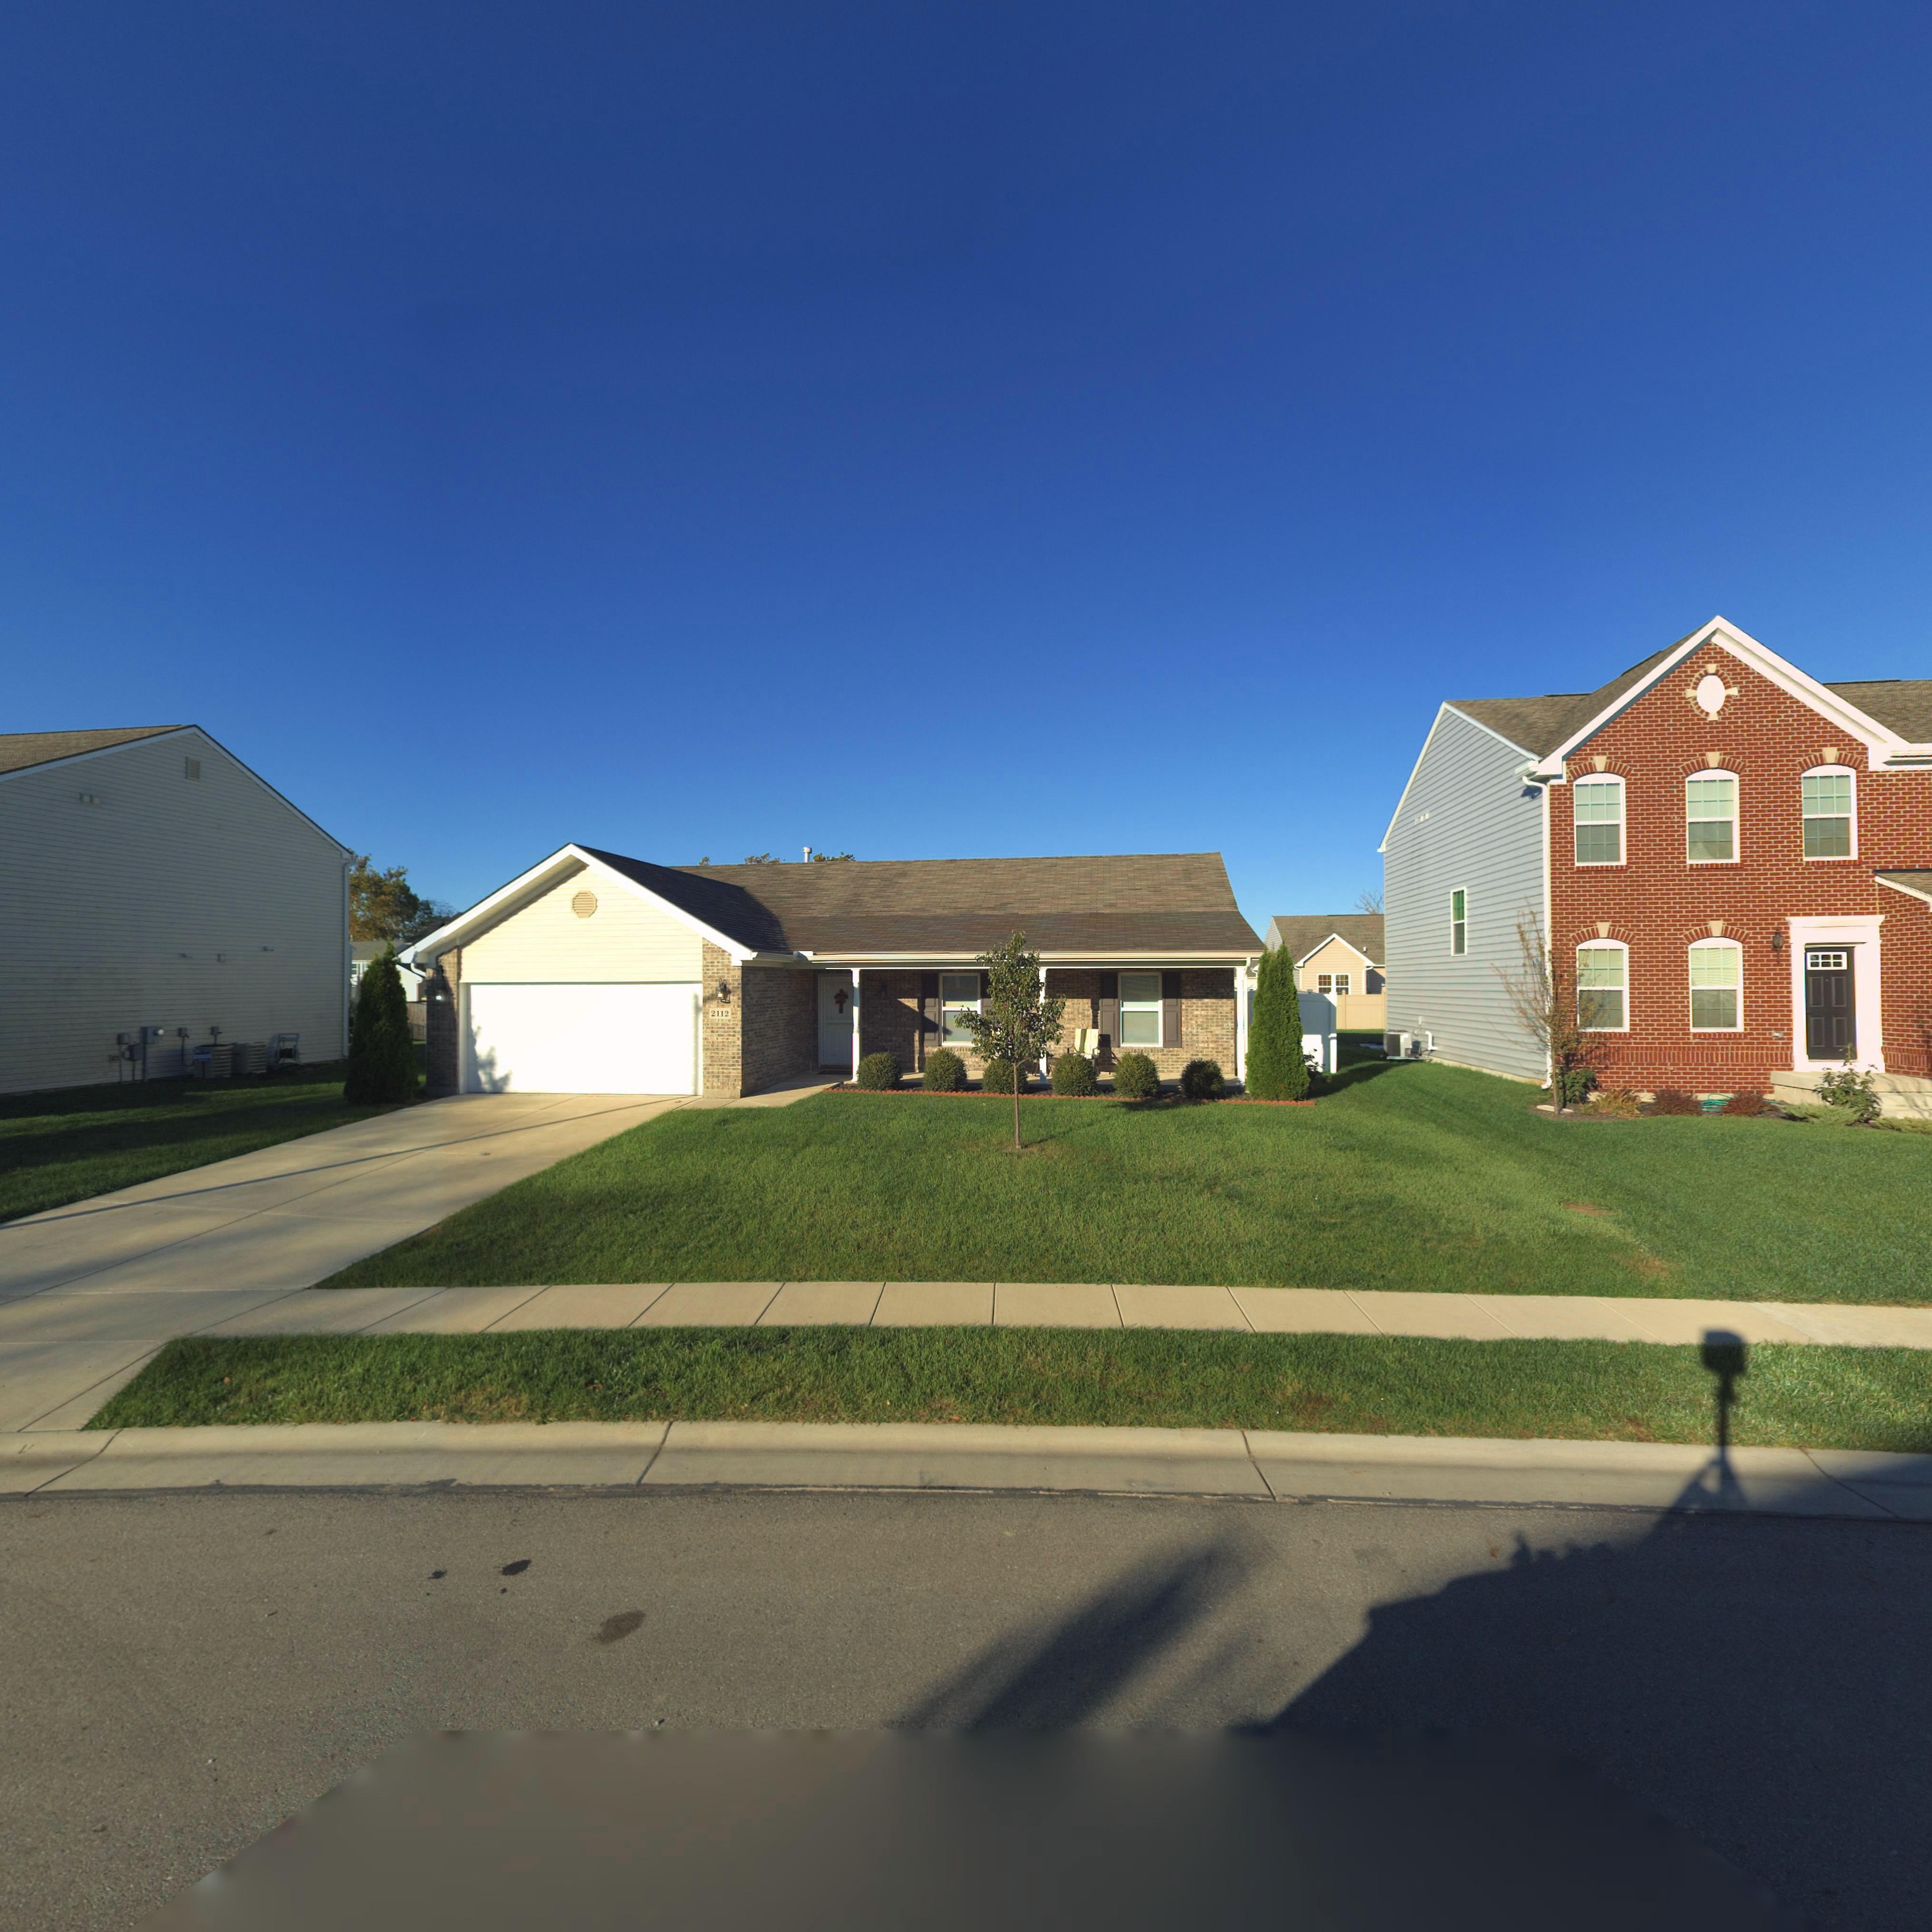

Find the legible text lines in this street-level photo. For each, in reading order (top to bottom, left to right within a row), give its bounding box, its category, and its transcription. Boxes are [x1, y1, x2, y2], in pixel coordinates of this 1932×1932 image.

[710, 1009, 730, 1018] StreetNumber: 2112